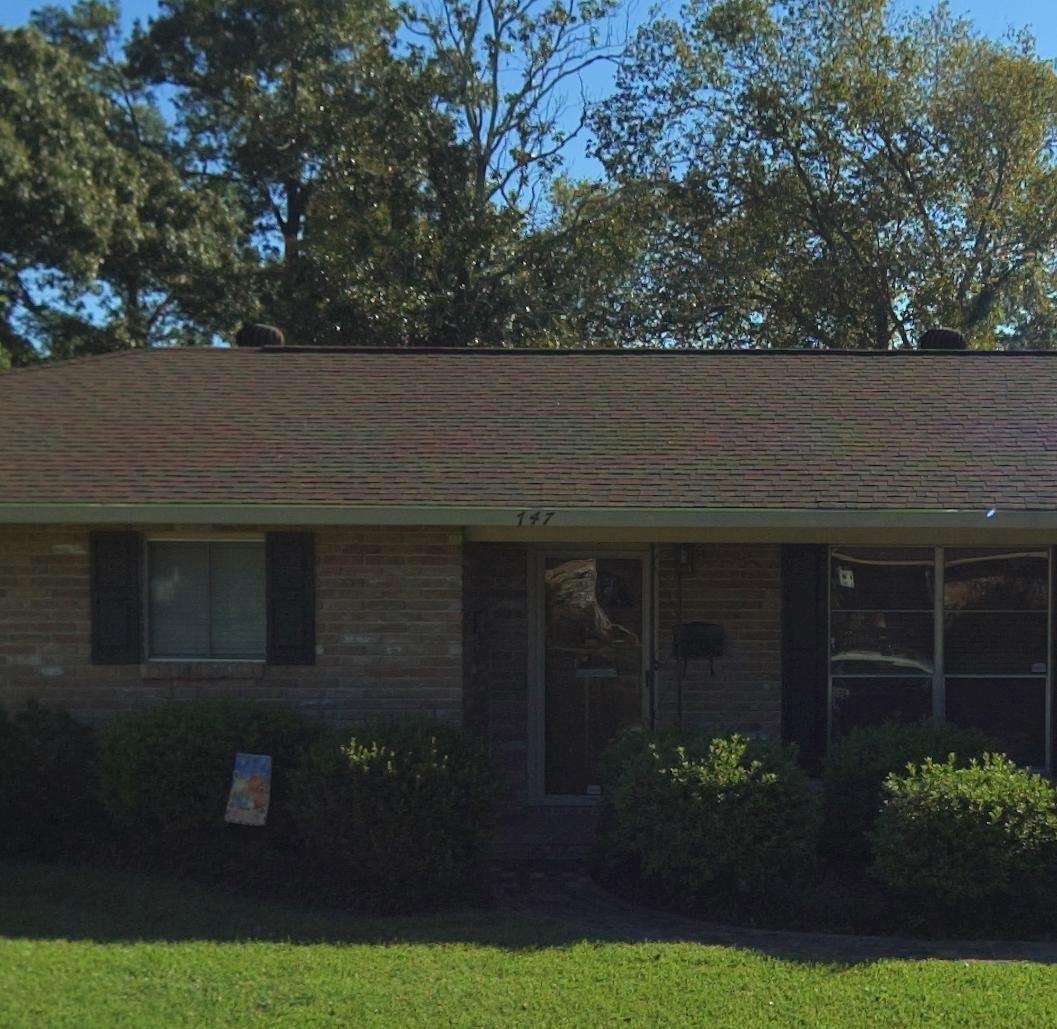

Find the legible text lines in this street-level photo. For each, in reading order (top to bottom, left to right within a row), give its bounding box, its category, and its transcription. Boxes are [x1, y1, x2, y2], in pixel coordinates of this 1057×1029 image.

[513, 509, 558, 529] StreetNumber: 747